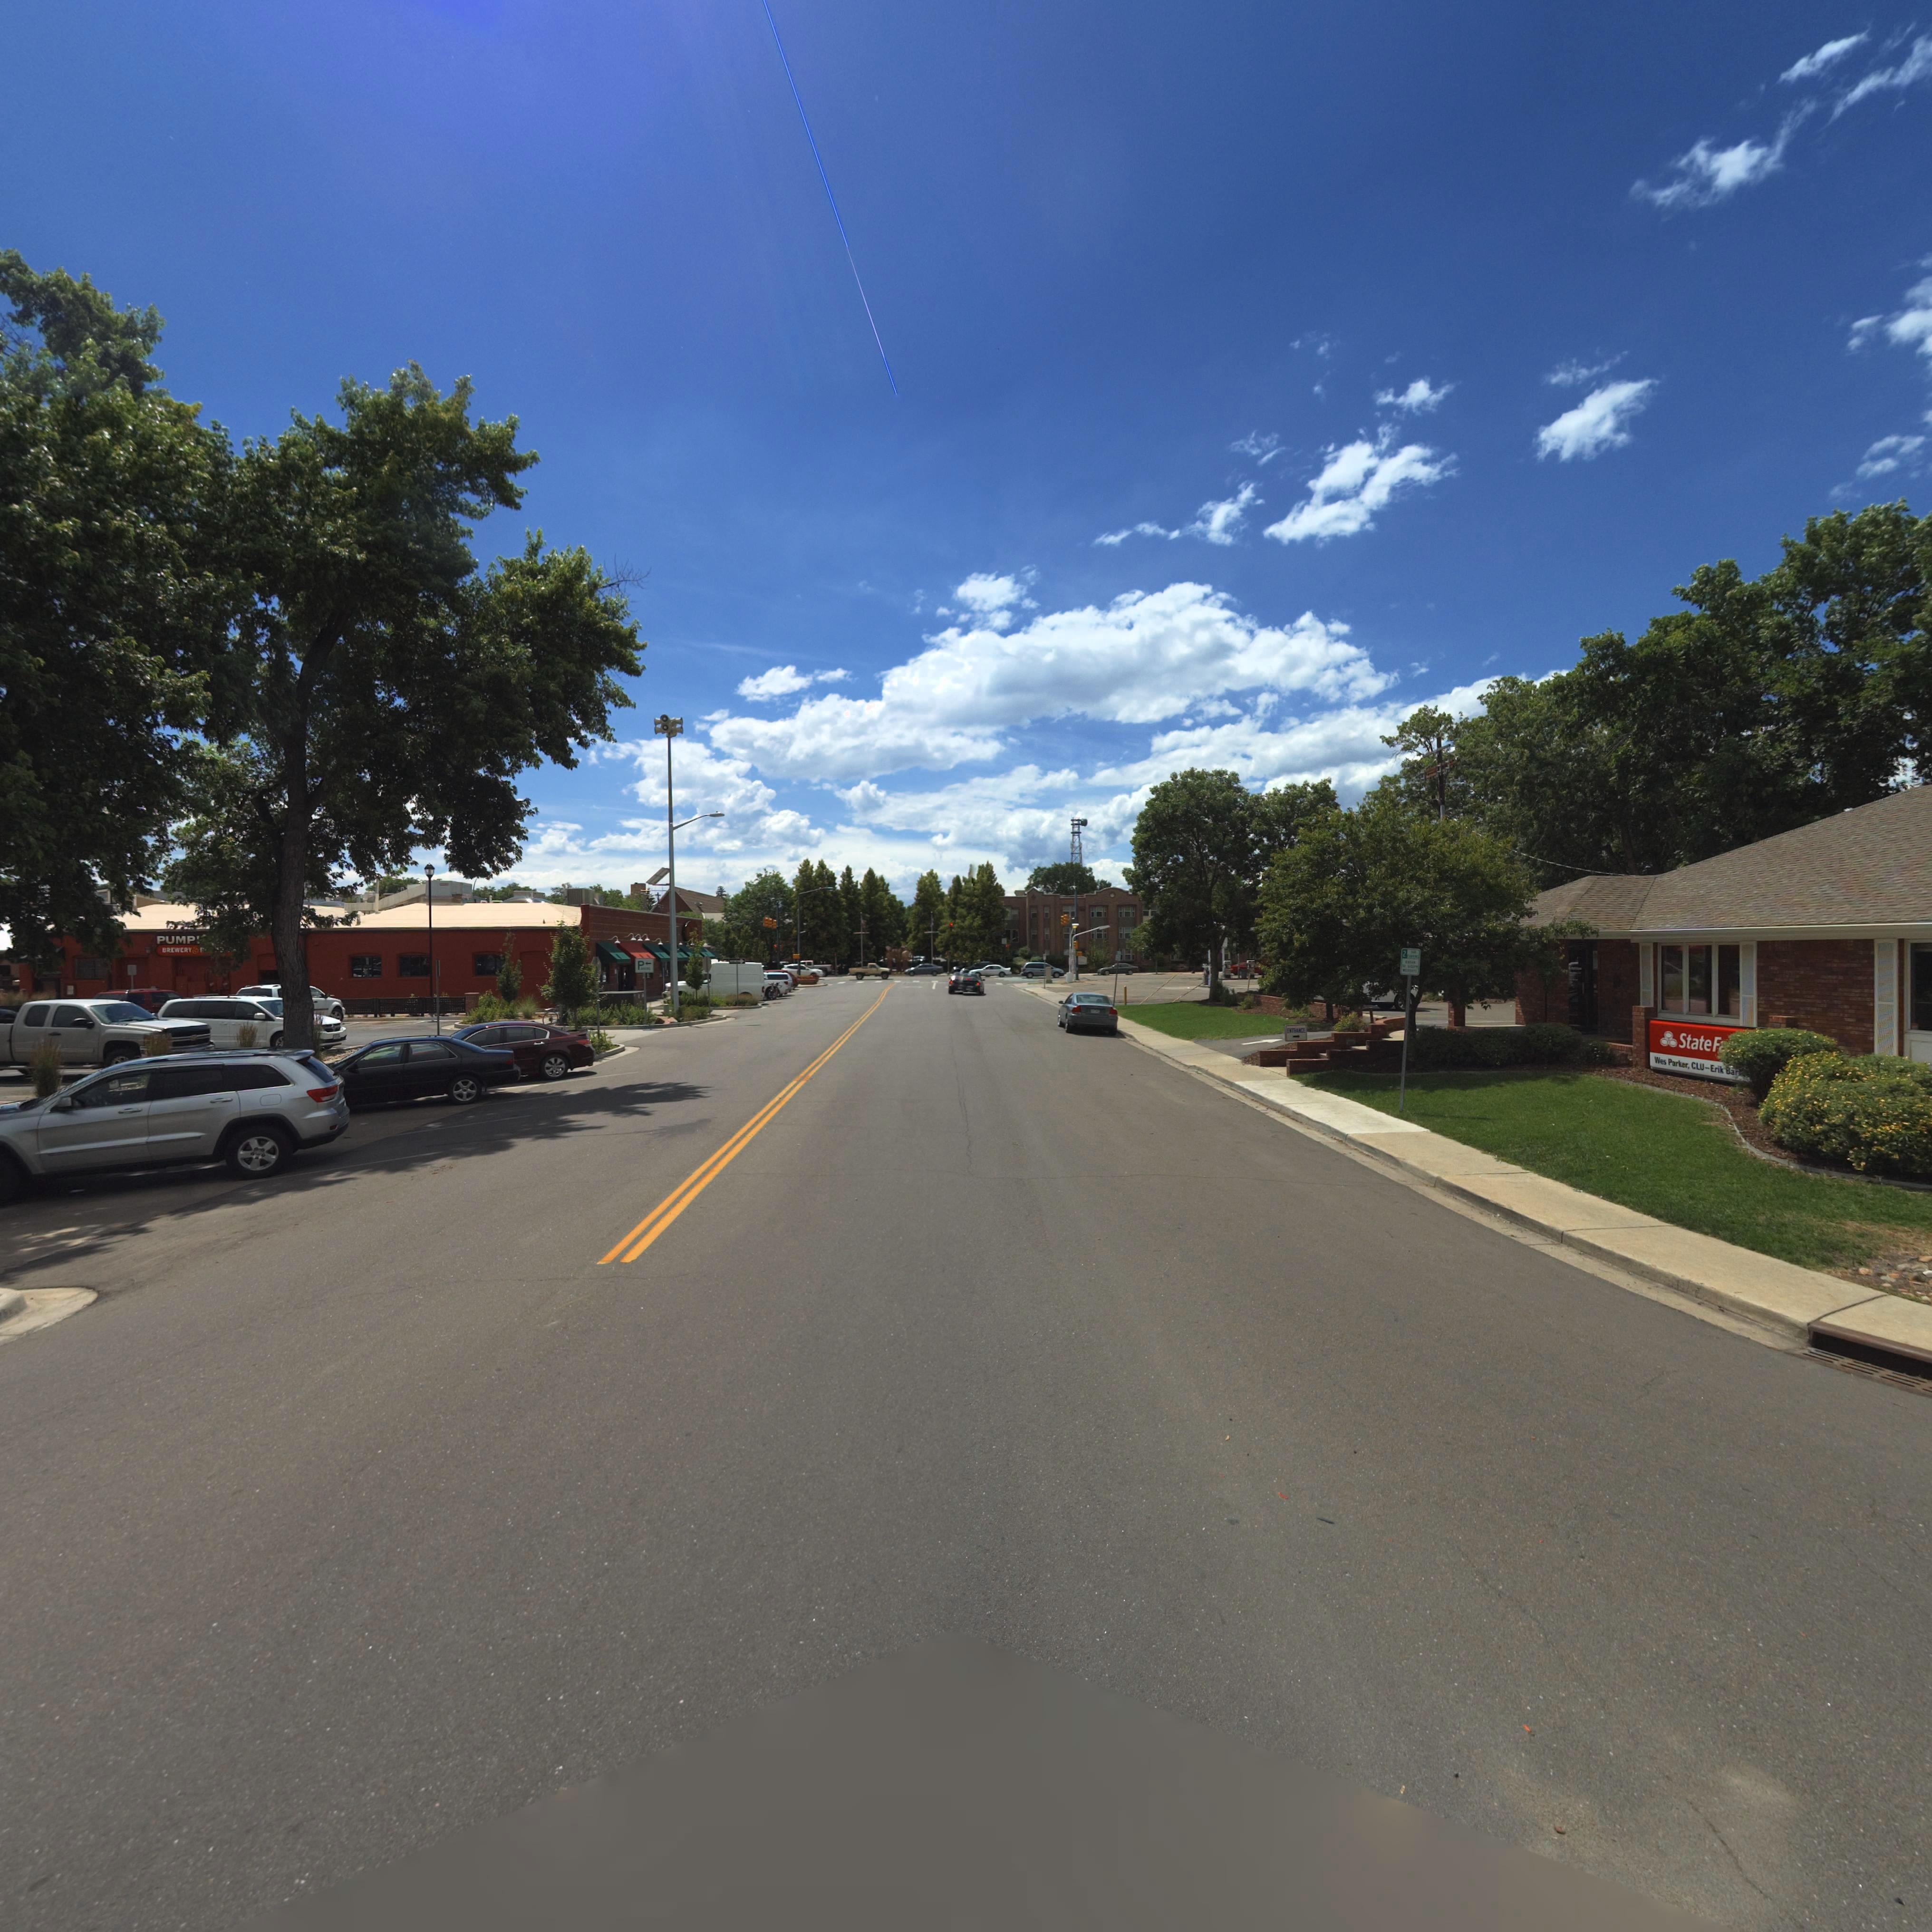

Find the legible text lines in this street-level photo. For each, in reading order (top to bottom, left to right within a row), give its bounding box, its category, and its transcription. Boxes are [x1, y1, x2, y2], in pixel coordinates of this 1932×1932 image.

[156, 935, 196, 945] BusinessName: PUMP
[161, 947, 193, 953] BusinessName: BREWERY
[1679, 1033, 1721, 1052] BusinessName: StateF